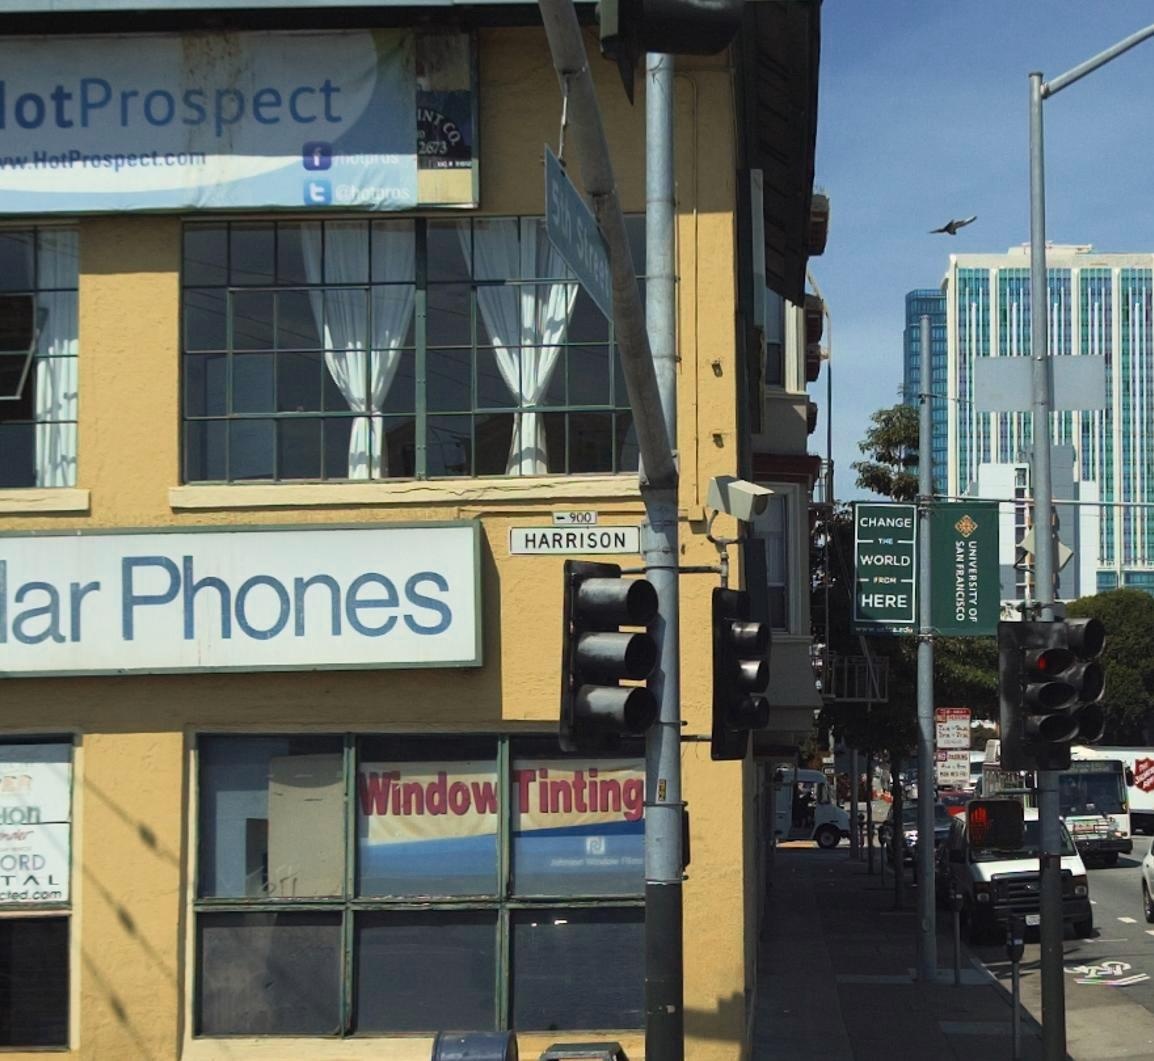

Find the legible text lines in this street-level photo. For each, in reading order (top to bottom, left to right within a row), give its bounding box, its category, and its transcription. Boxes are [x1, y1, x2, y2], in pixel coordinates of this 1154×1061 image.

[13, 74, 348, 140] BusinessName: otProspect
[415, 105, 466, 146] None: INT CO.
[416, 138, 449, 155] None: 267*
[7, 147, 207, 174] None: w.HotProspect.com
[550, 171, 616, 308] StreetName: 5th Street
[555, 511, 594, 522] StreetNumberRange: <-900
[858, 516, 912, 528] None: CHANGE
[524, 531, 627, 549] StreetName: HARRISON
[876, 537, 894, 545] None: THE
[858, 553, 911, 568] None: WORLD
[871, 575, 897, 585] None: FROM
[954, 539, 966, 622] None: SAN FRANCISCO
[968, 538, 978, 623] None: UNIVERSITY OF
[9, 545, 454, 645] BusinessName: ar Phones
[860, 593, 908, 608] None: HERE
[354, 763, 646, 827] None: Window Tinting
[6, 803, 43, 825] None: ON
[1, 853, 46, 872] None: ORD
[1, 872, 59, 886] None: TAL
[6, 889, 64, 901] None: ted.com